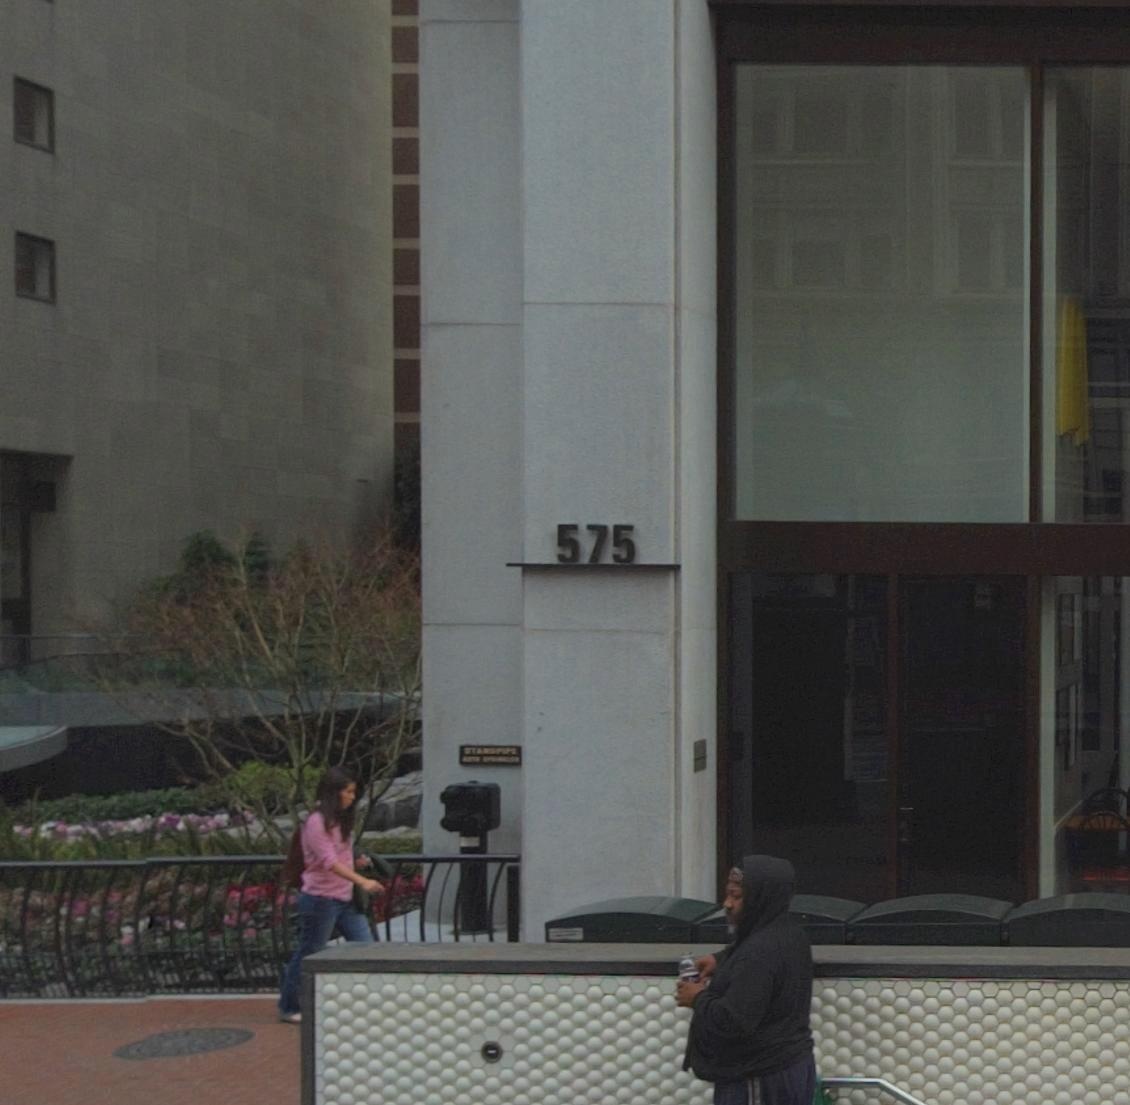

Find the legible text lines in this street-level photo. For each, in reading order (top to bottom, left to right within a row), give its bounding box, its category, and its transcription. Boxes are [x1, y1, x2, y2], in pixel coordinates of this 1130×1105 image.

[555, 522, 637, 564] StreetNumber: 575
[463, 747, 517, 755] None: STANDPIPE